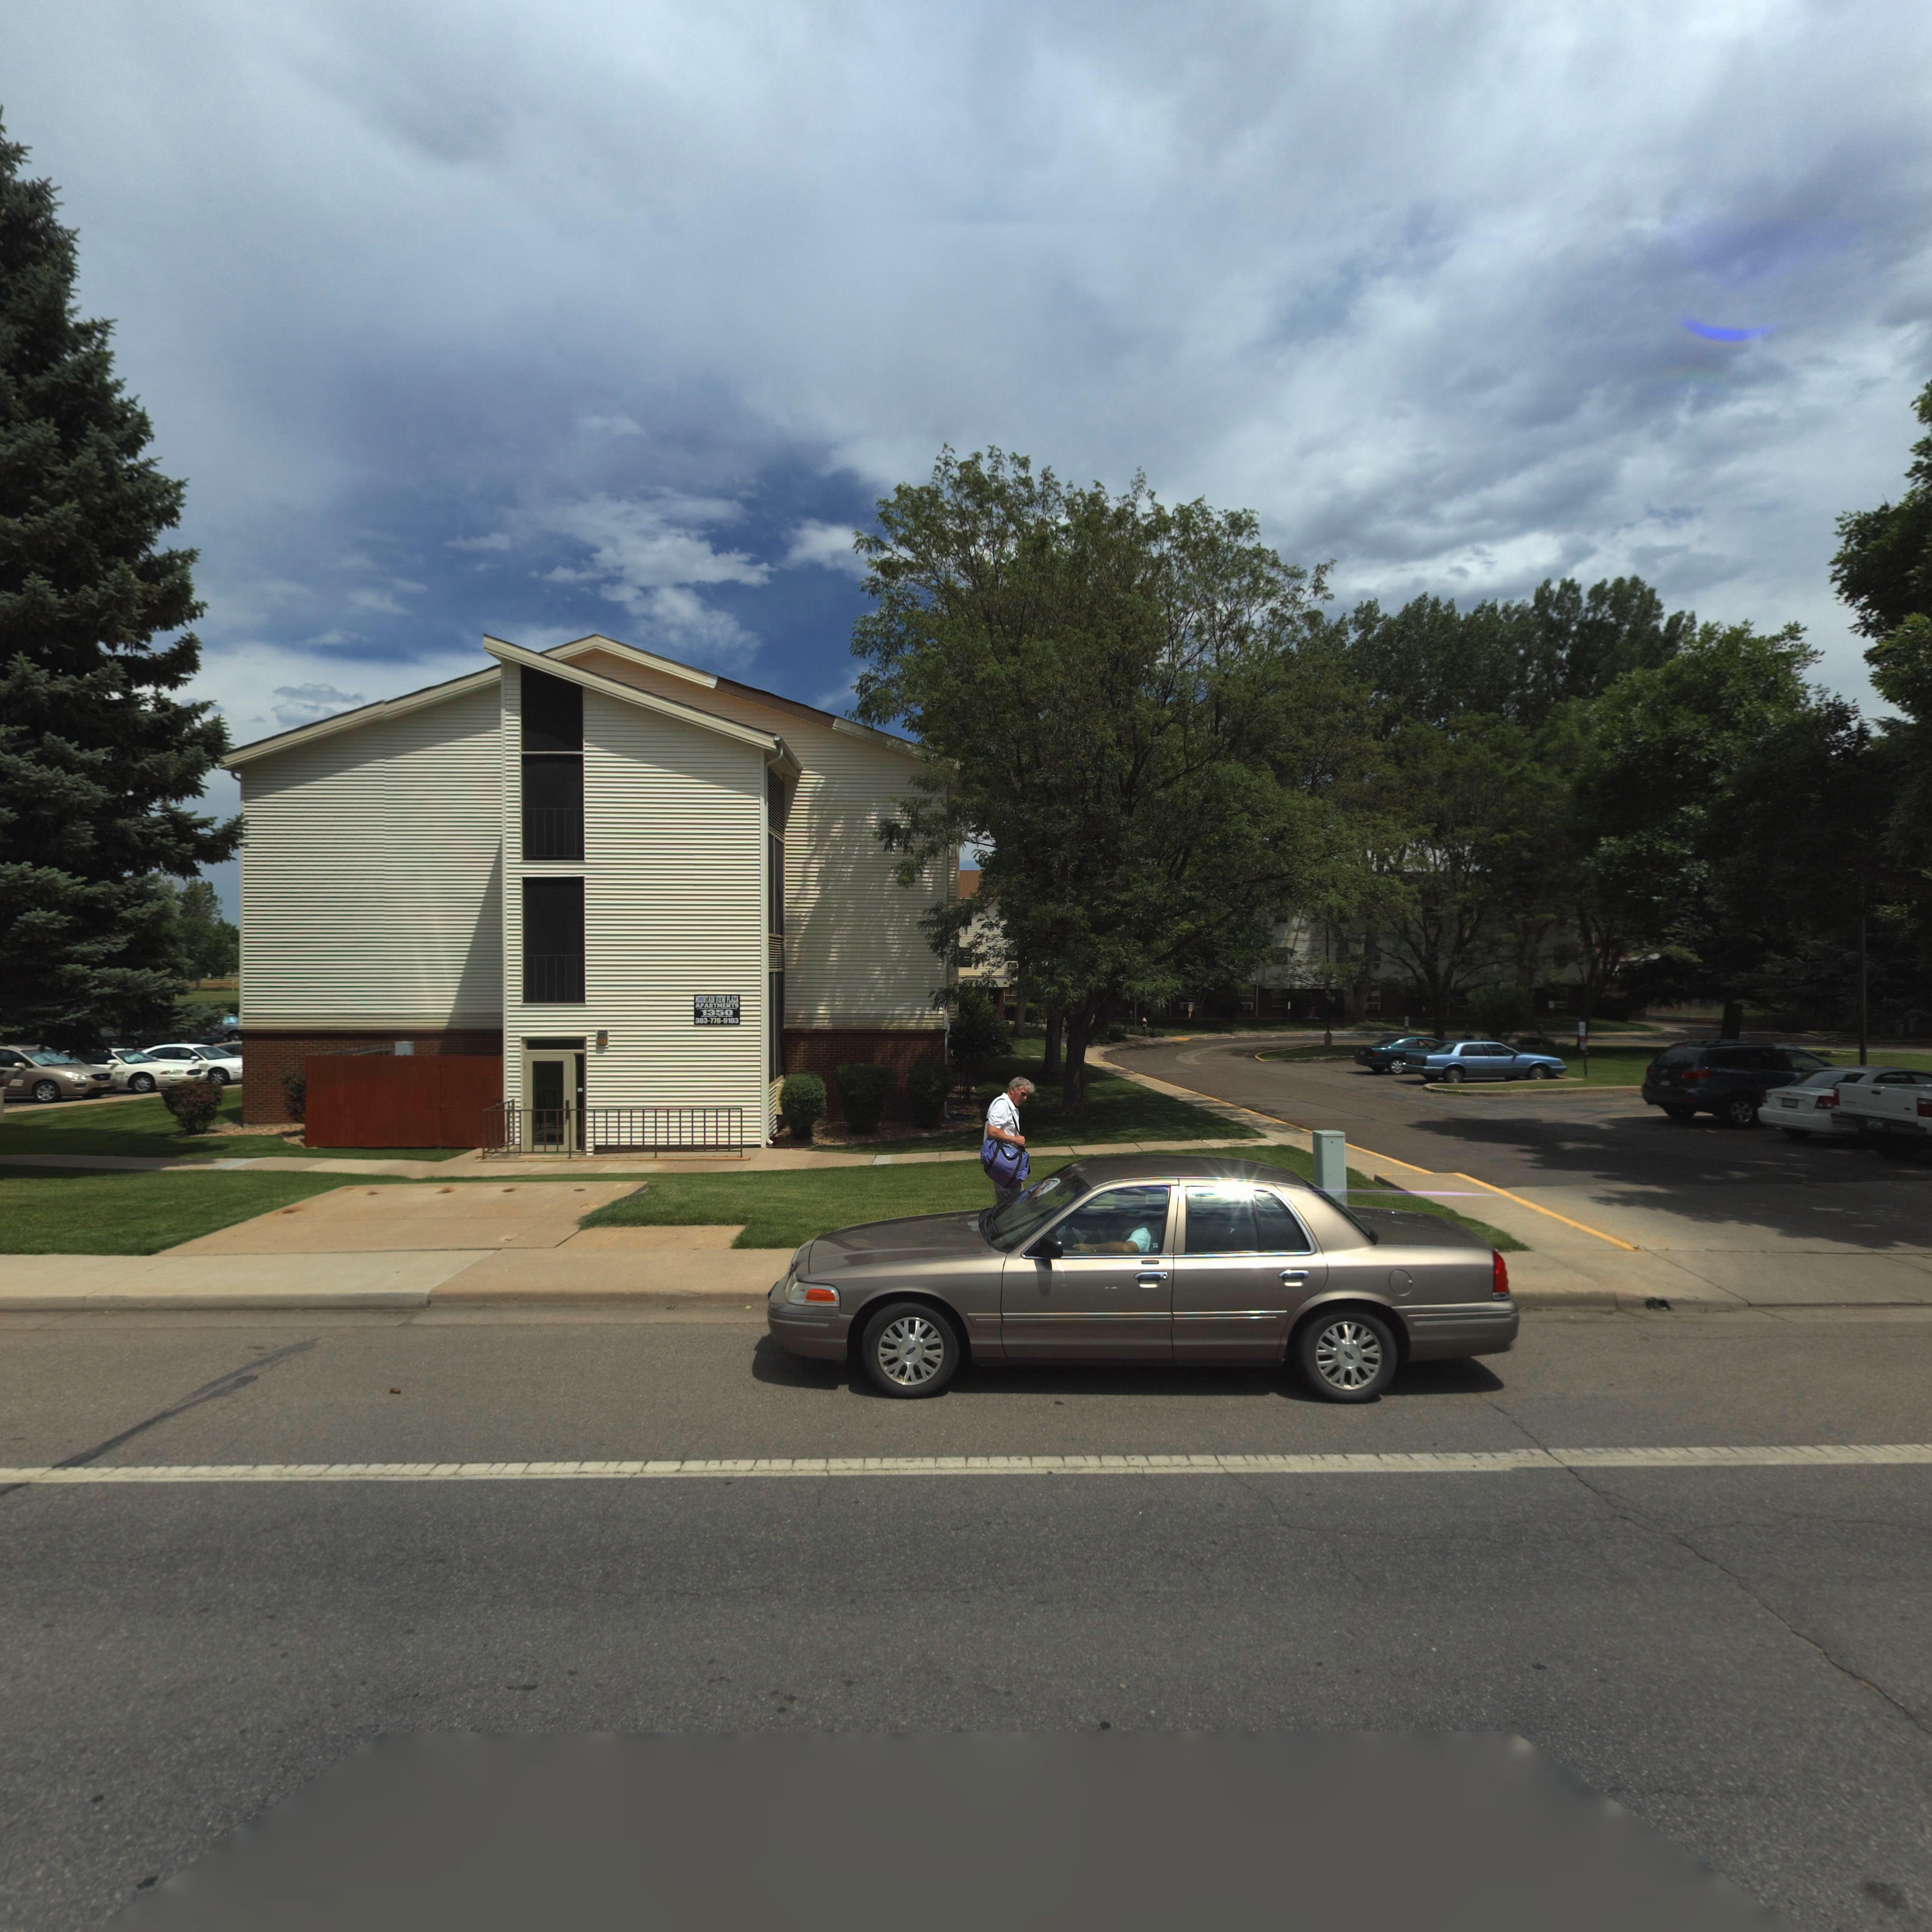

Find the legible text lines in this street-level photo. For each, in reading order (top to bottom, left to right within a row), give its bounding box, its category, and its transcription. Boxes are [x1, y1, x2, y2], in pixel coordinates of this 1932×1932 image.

[695, 995, 739, 1003] BusinessName: MOUNTAIN VIEW PLAZA
[695, 1003, 739, 1008] BusinessName: APARTMENTS
[700, 1009, 733, 1015] StreetNumber: 1350